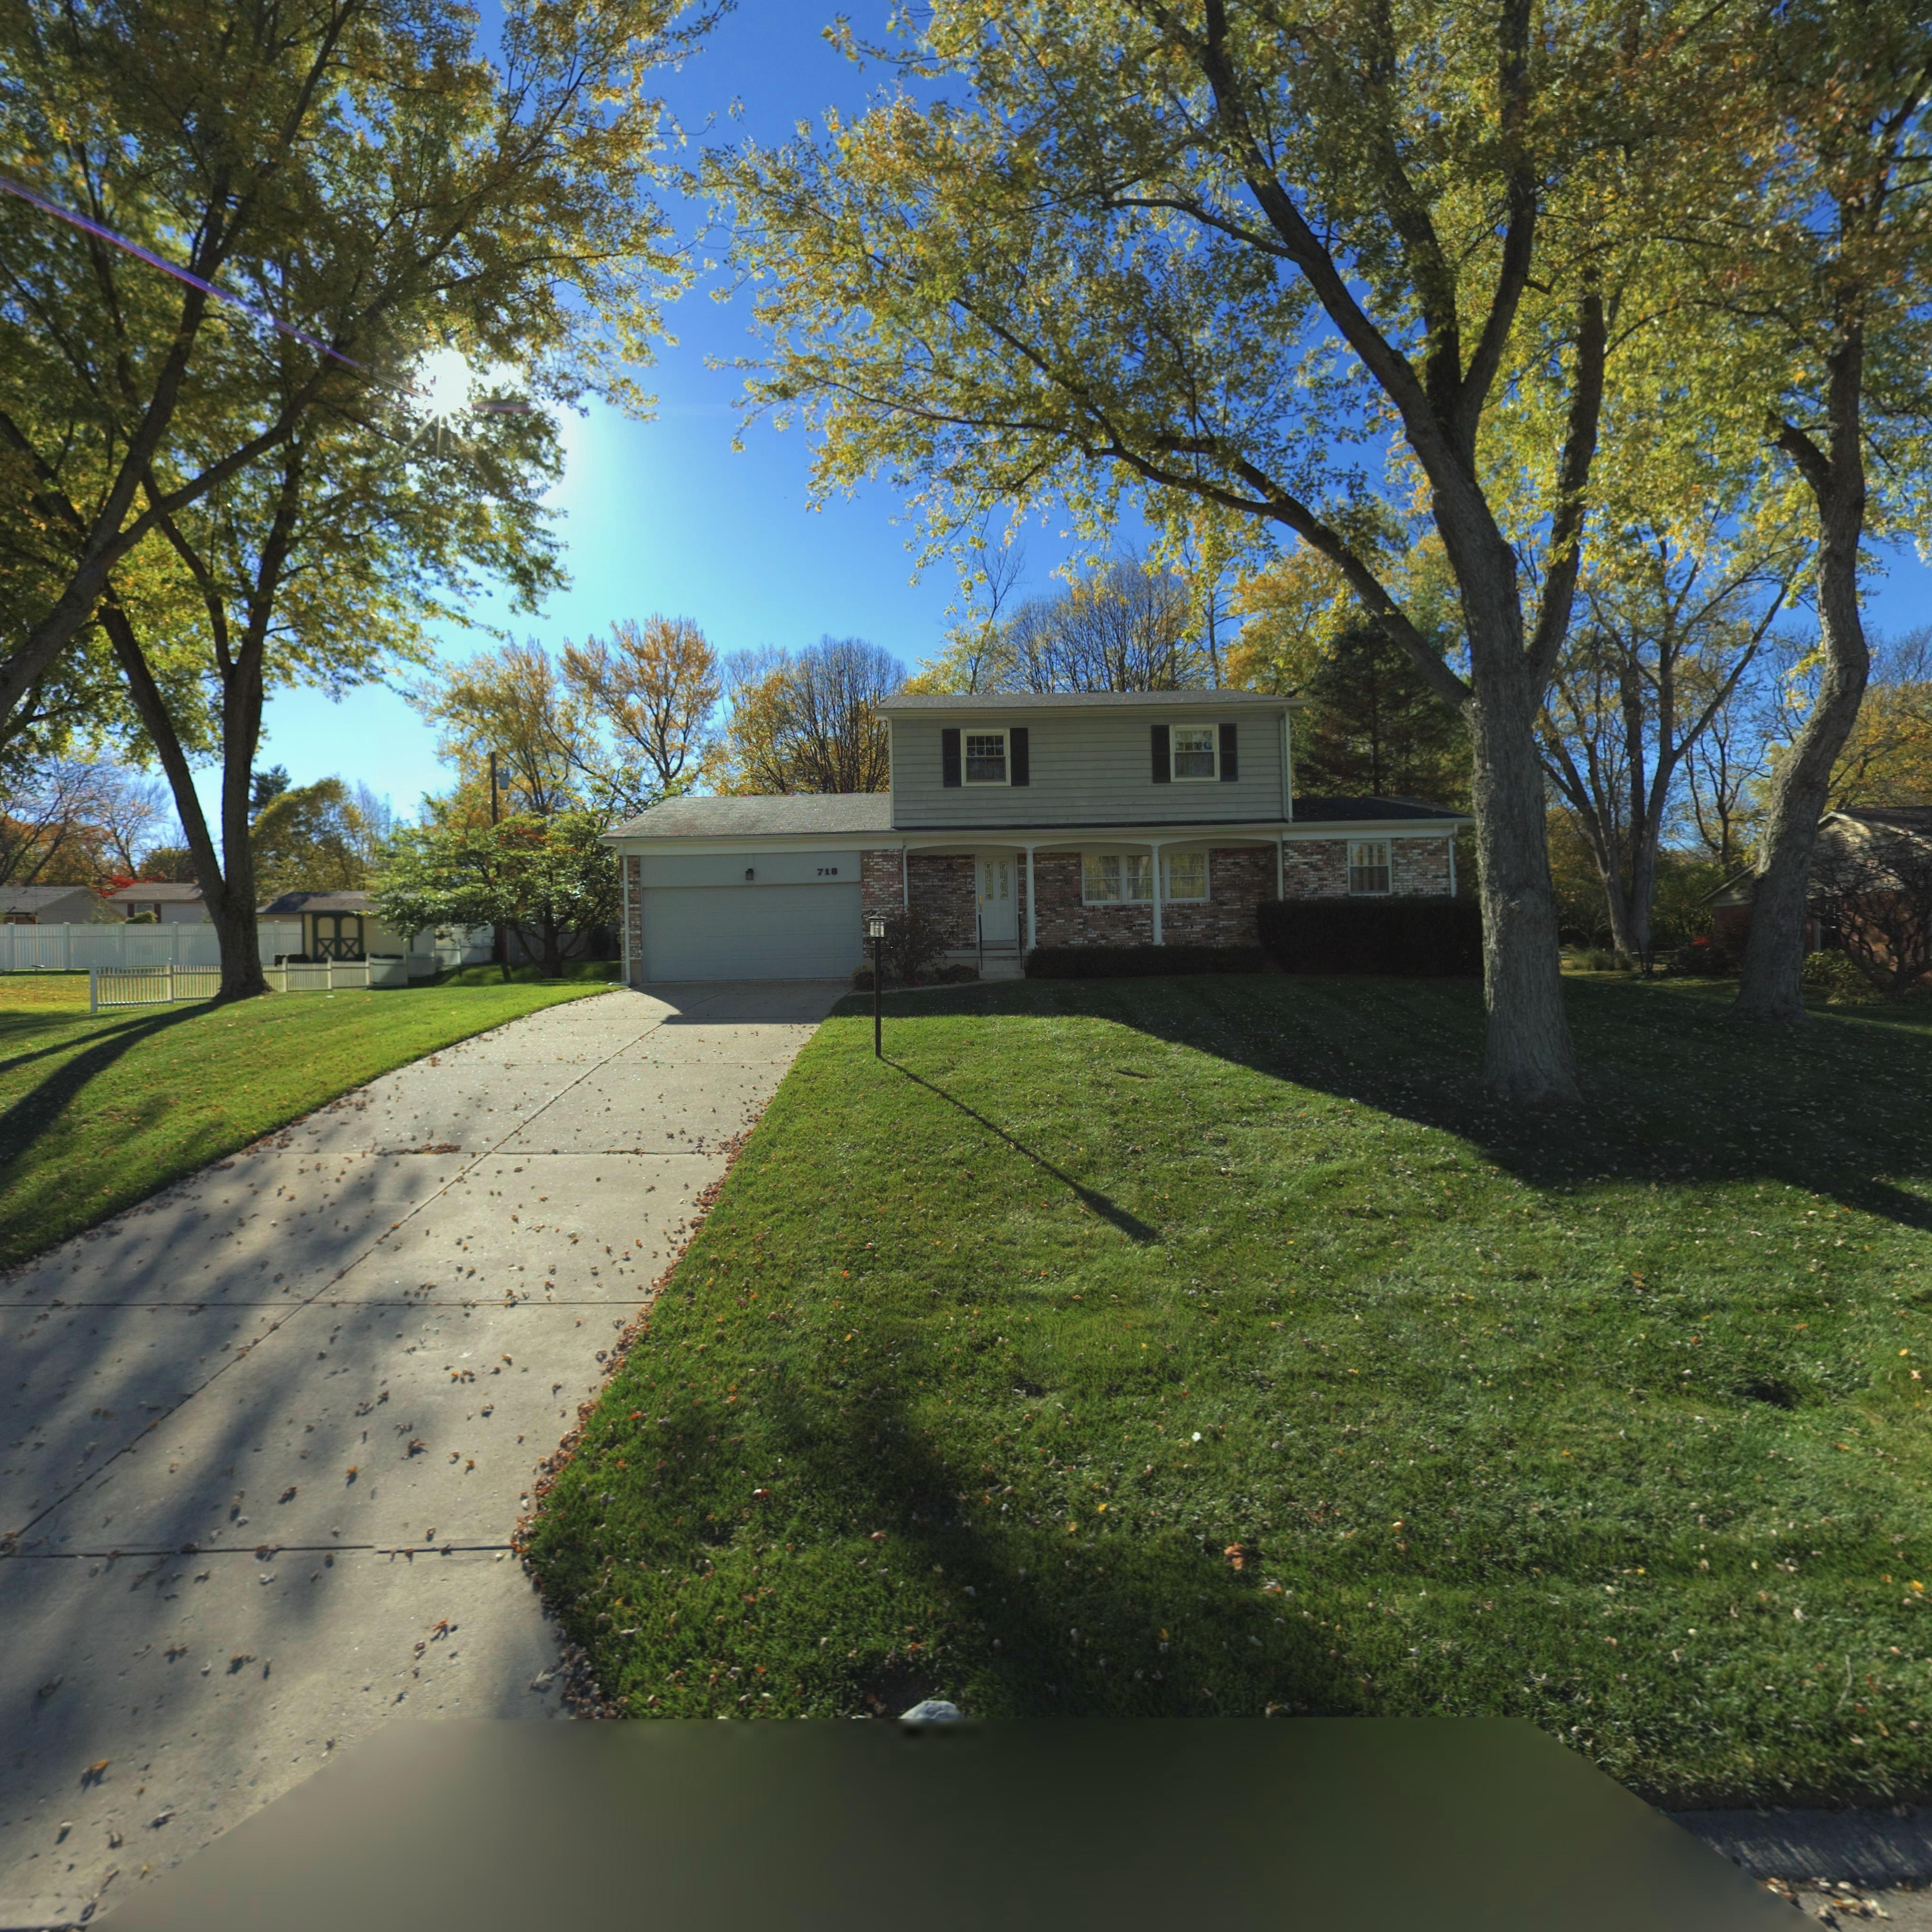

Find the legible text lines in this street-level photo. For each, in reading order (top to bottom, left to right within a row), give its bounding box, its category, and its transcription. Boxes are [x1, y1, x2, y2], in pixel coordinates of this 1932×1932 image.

[816, 867, 838, 876] StreetNumber: 718